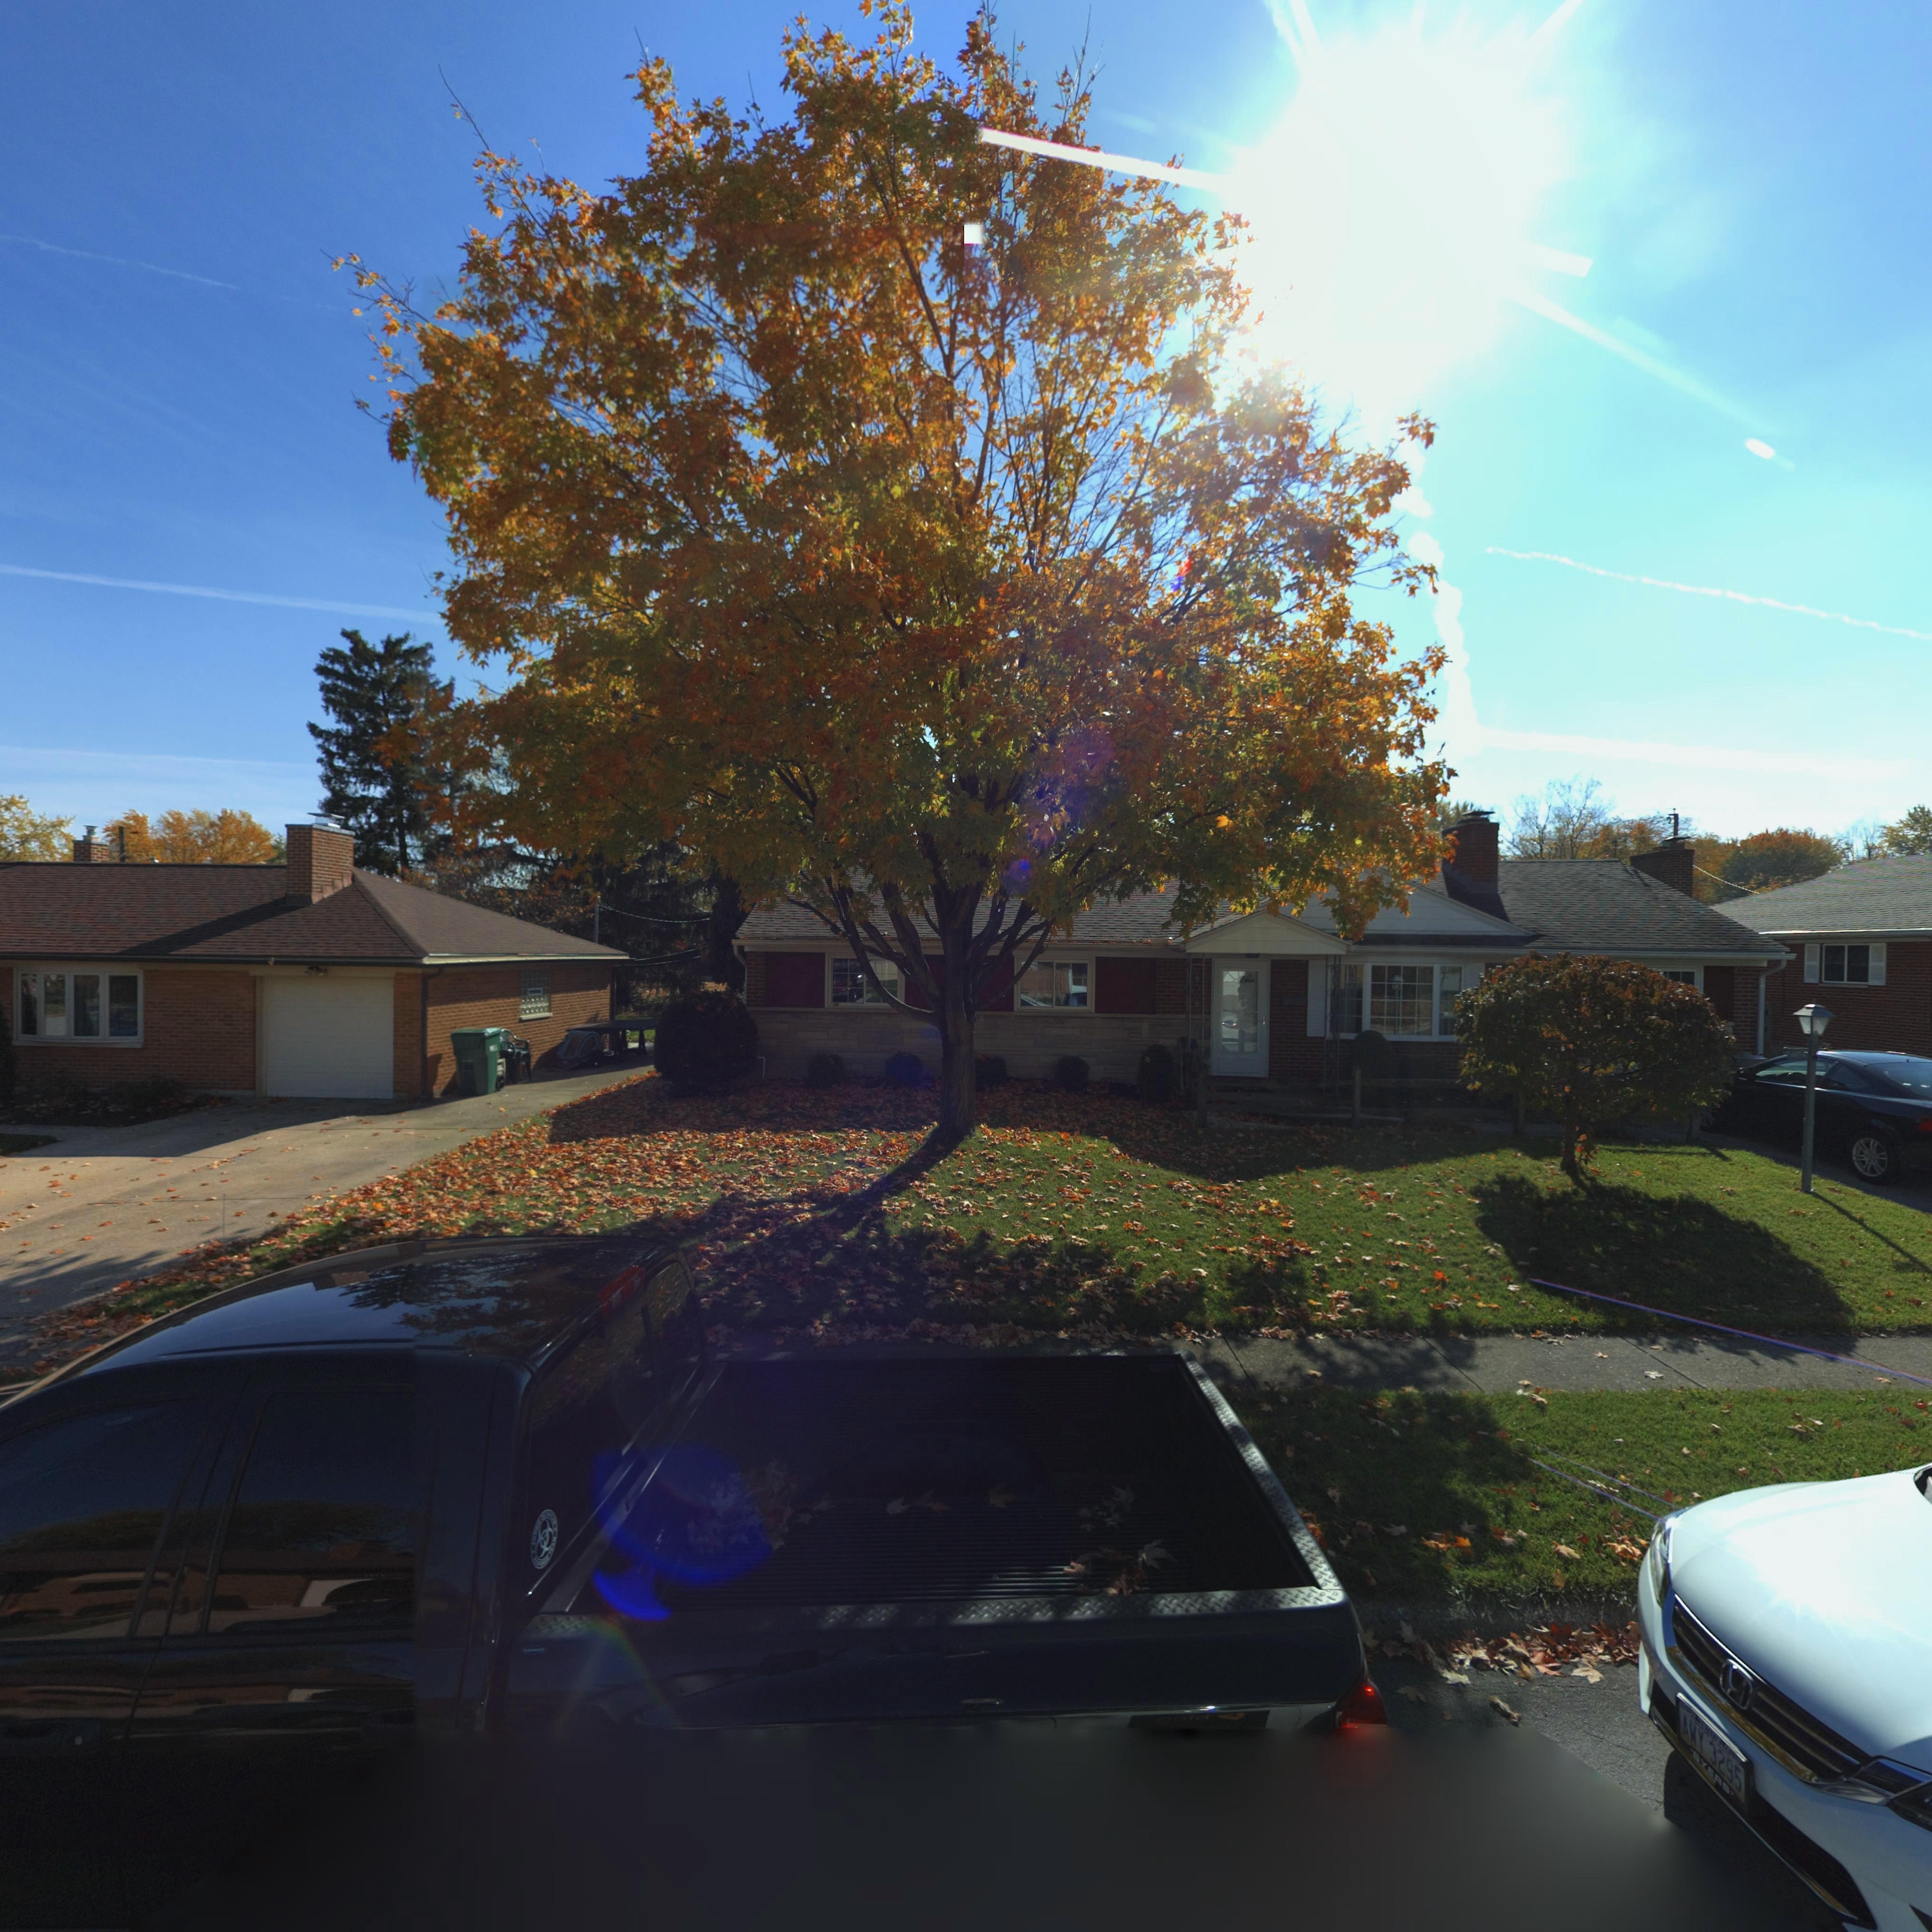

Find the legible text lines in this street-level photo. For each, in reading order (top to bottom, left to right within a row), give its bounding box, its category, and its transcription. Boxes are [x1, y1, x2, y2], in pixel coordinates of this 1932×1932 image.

[1789, 1051, 1803, 1057] StreetNumber: 1124
[1692, 1748, 1731, 1797] None: BYERS
[1682, 1712, 1744, 1795] None: AWY 3295